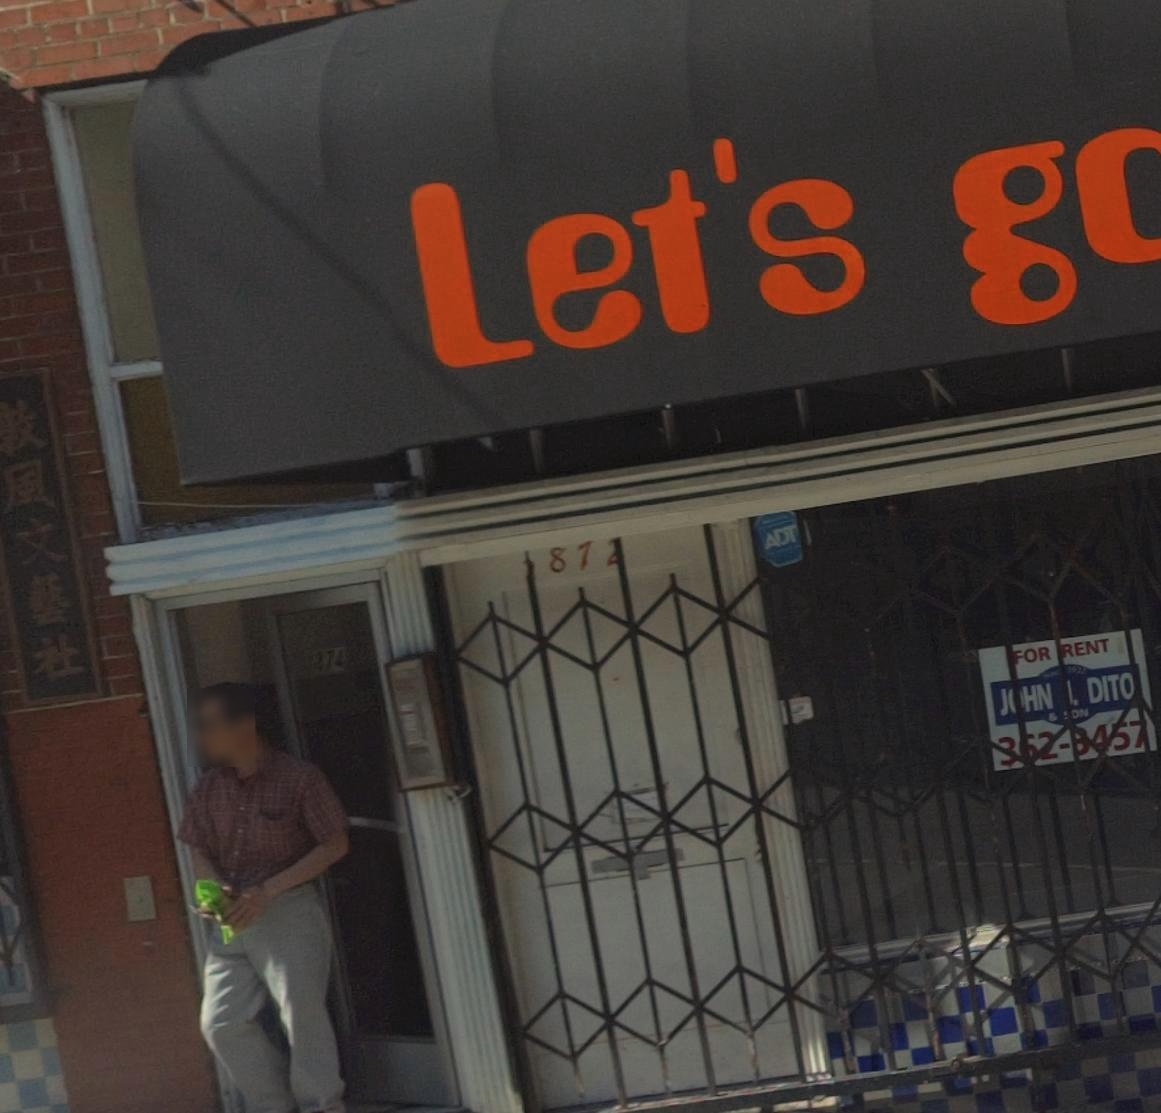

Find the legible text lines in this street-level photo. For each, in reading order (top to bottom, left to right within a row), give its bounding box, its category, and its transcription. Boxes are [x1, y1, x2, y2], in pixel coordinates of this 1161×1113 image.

[402, 132, 1086, 375] BusinessName: Let's g
[550, 533, 627, 577] StreetNumber: 87*
[763, 521, 797, 554] BusinessName: ADT
[312, 646, 347, 676] StreetNumber: 874
[1011, 636, 1111, 666] None: FOR RENT
[999, 670, 1137, 718] None: J*HN I. DITO